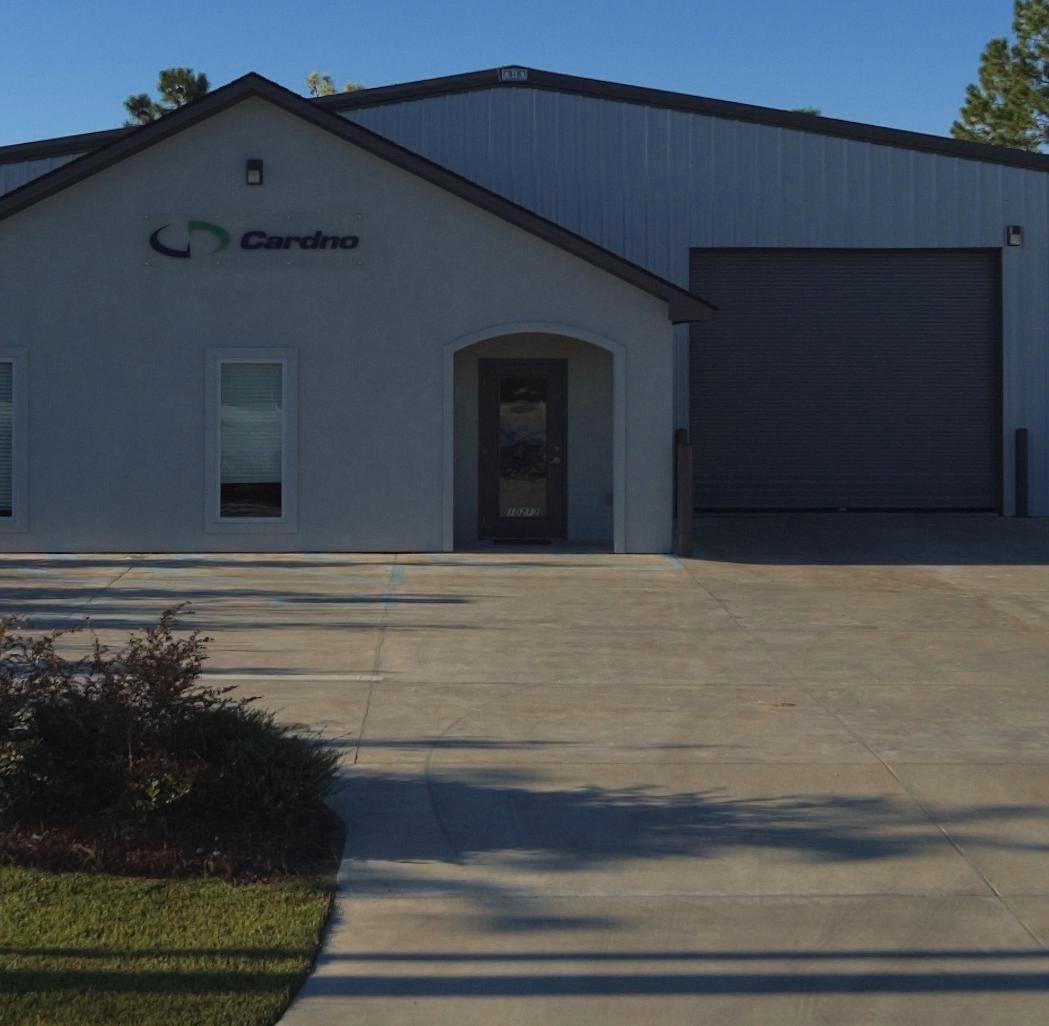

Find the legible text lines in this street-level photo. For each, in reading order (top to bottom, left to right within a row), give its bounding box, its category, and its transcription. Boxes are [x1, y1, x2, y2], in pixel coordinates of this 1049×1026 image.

[236, 228, 362, 253] BusinessName: Cardno
[508, 507, 540, 517] StreetNumber: 10212